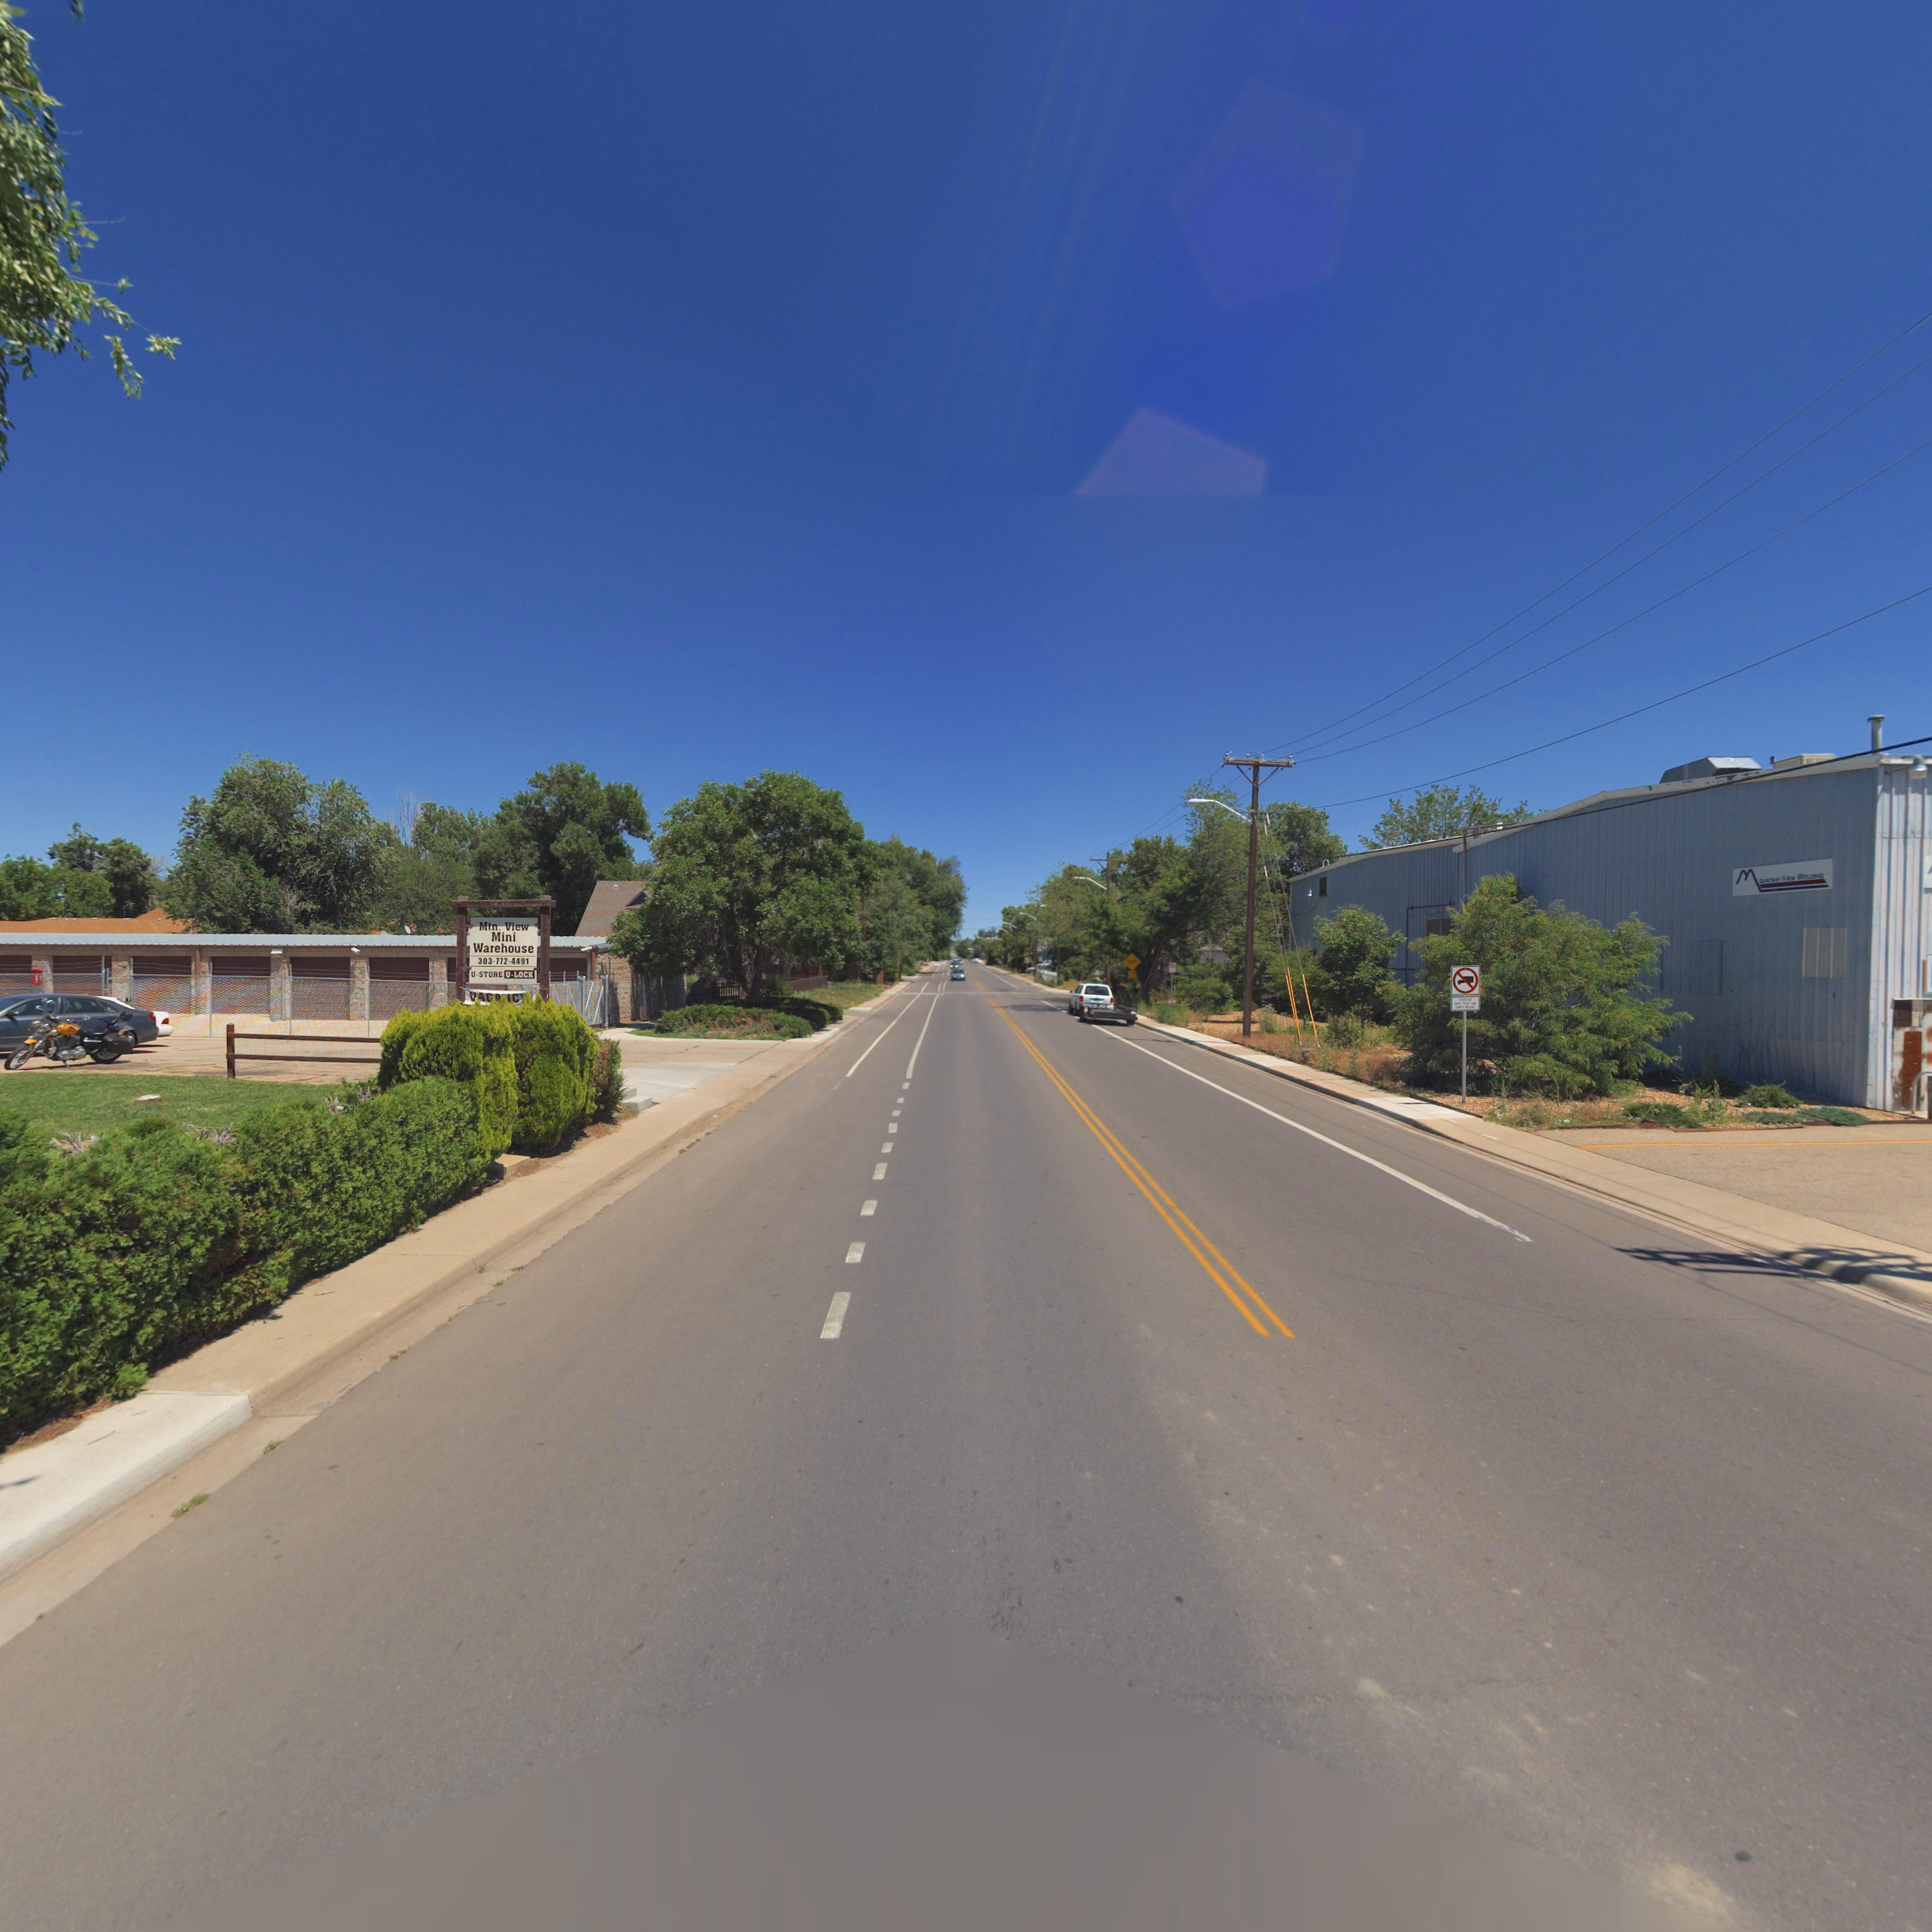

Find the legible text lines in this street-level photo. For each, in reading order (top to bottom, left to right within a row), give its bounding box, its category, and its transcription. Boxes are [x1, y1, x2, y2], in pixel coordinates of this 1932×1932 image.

[1735, 868, 1758, 884] BusinessName: M
[1759, 872, 1824, 883] BusinessName: OUNTAIN VIEW WELDING
[493, 901, 508, 907] StreetNumber: 440
[479, 921, 529, 931] BusinessName: Mtn. View
[491, 931, 516, 942] BusinessName: Mini
[473, 942, 534, 953] BusinessName: Warehouse